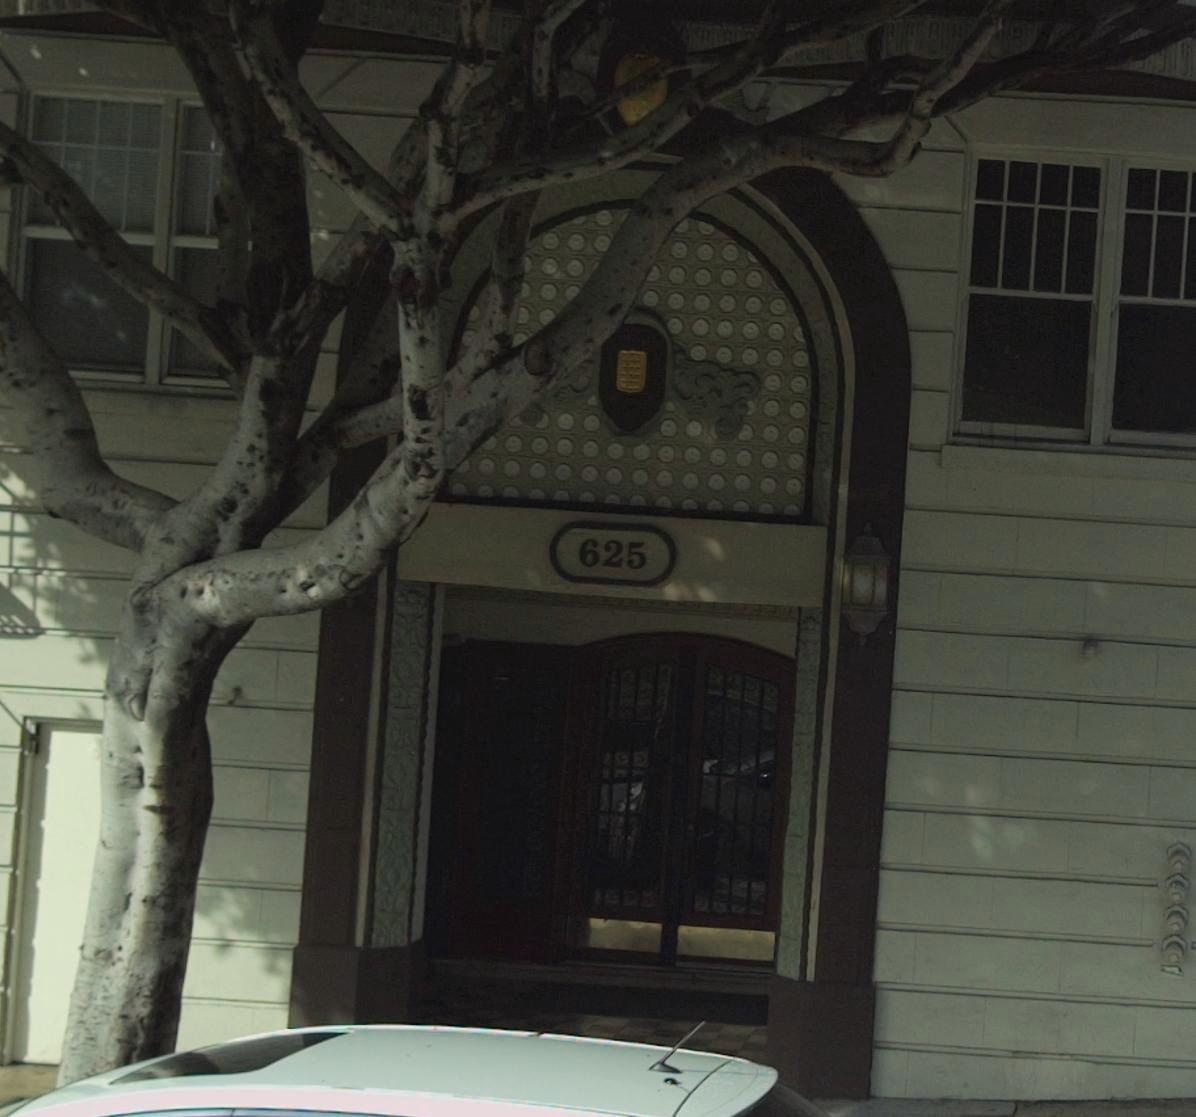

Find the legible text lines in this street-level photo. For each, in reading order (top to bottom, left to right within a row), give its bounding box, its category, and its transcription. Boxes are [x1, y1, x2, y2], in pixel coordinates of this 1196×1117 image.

[575, 535, 649, 574] StreetNumber: 625